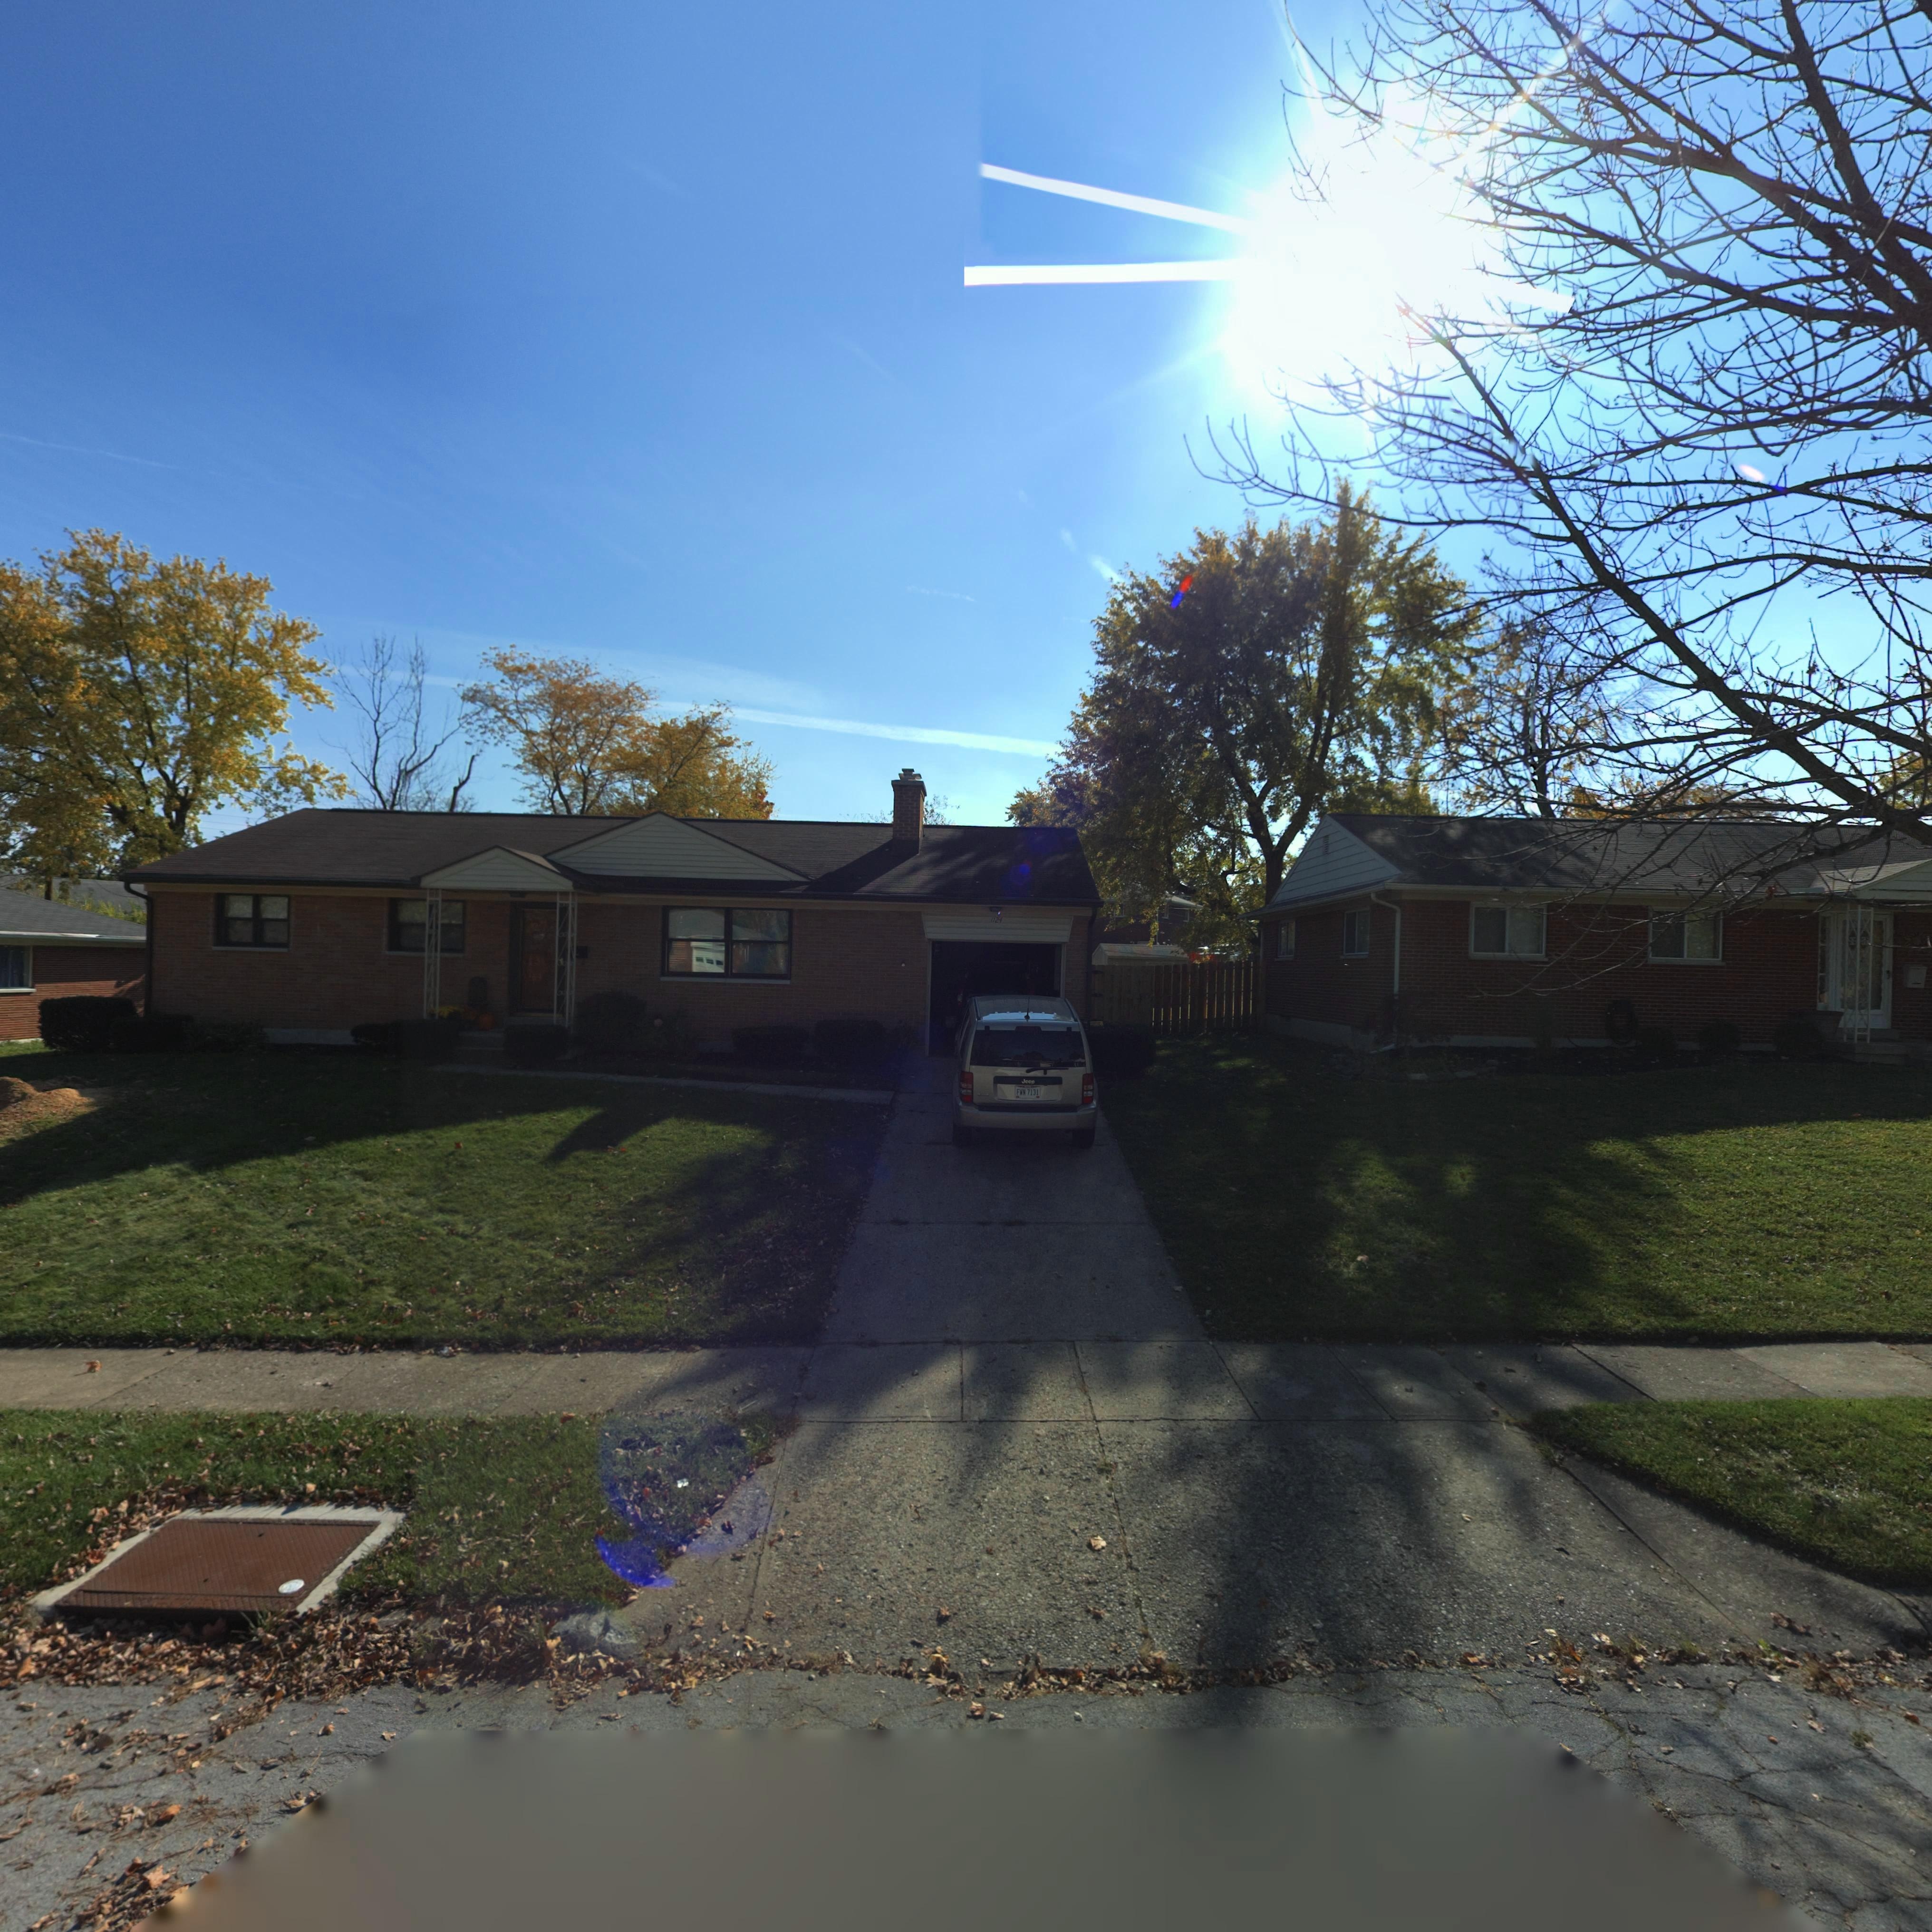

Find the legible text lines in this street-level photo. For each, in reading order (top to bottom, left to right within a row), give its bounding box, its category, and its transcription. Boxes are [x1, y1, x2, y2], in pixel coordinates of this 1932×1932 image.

[989, 916, 1004, 924] StreetNumber: 1124